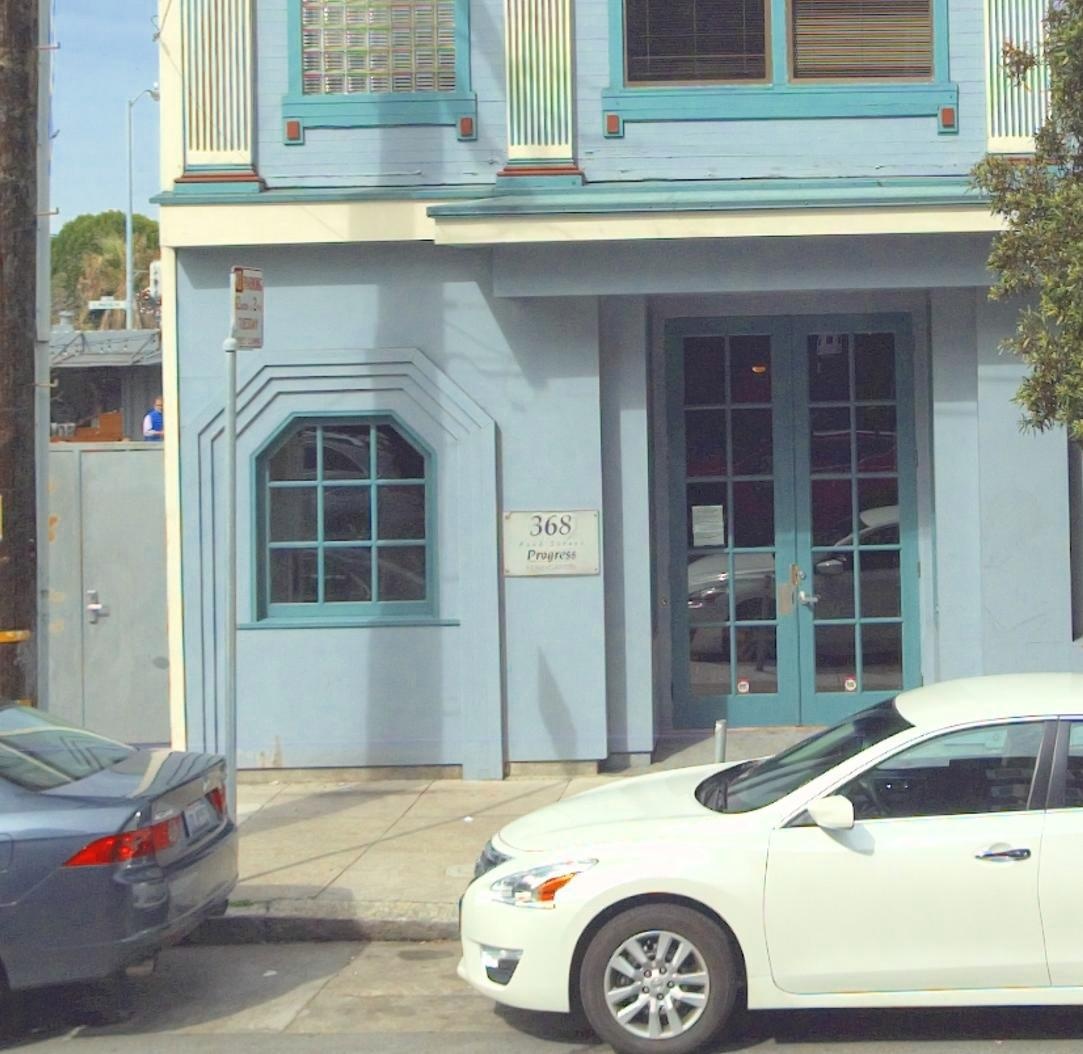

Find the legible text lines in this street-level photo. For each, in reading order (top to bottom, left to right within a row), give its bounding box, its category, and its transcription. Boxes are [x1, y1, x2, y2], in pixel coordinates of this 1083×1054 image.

[528, 514, 573, 537] StreetNumber: 368
[525, 546, 577, 562] None: Progress